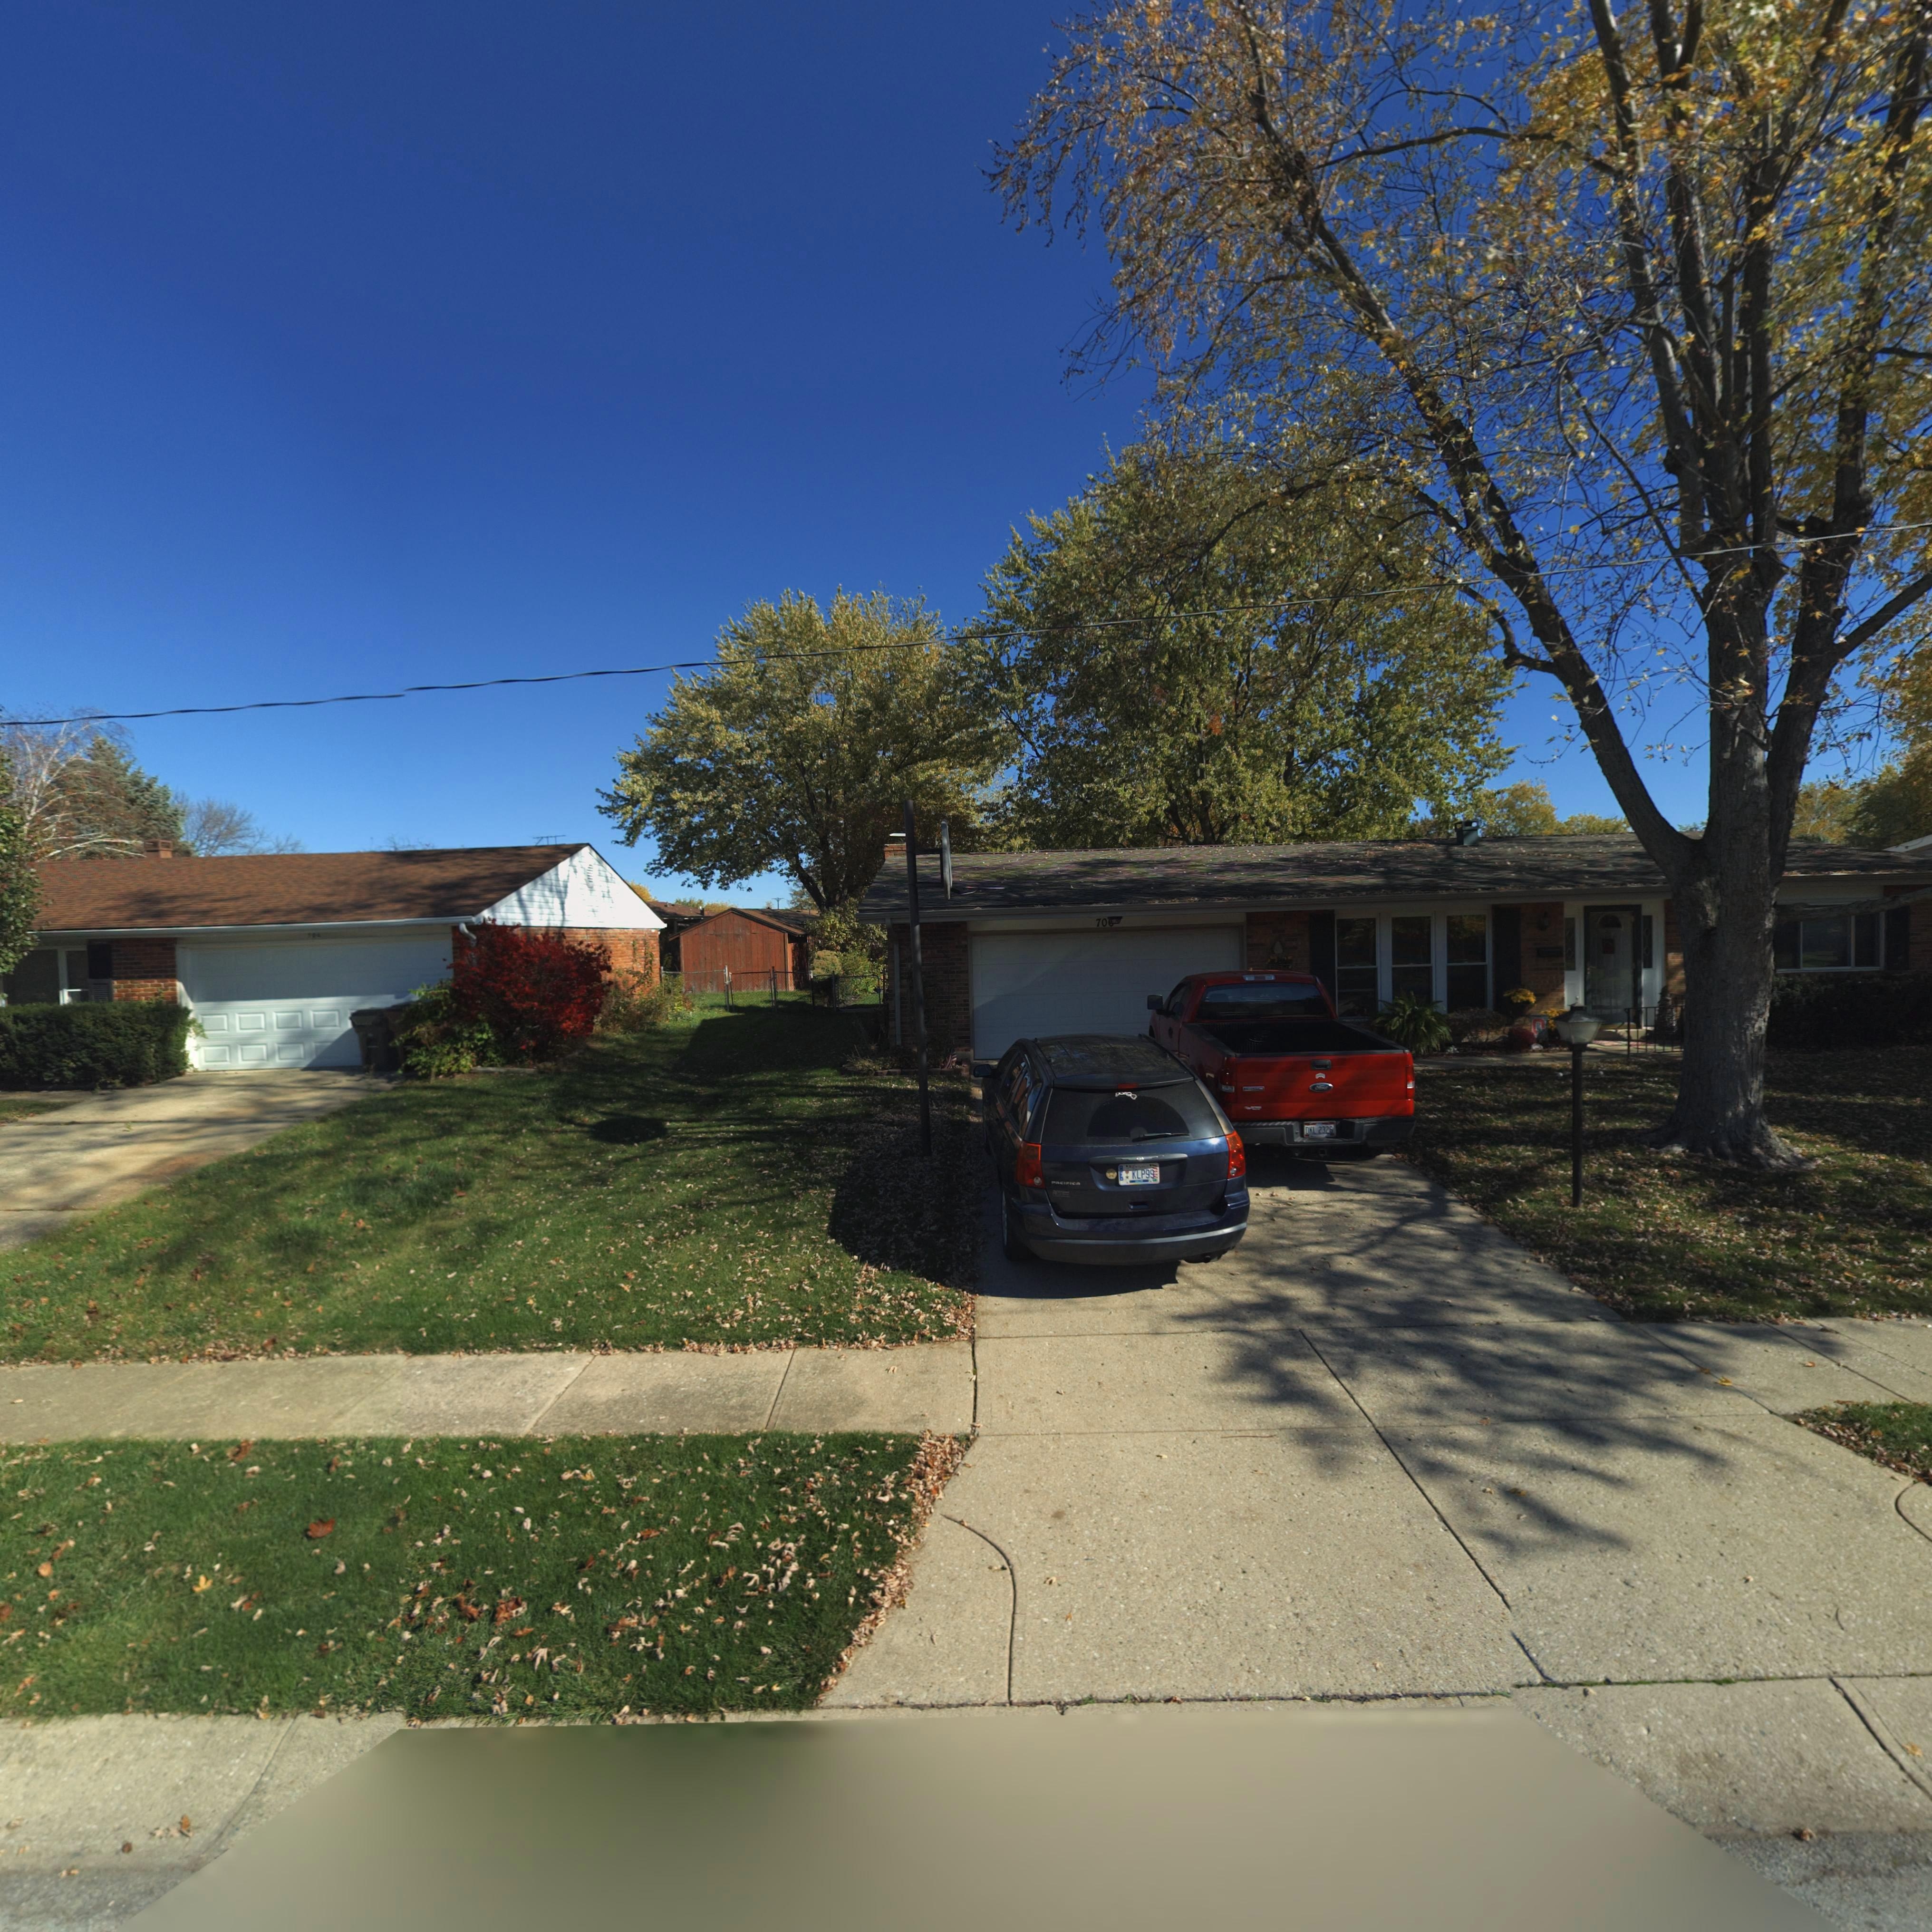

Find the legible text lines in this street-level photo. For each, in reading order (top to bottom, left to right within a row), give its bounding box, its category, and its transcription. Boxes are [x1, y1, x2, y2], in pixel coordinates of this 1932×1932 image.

[1095, 918, 1108, 927] StreetNumber: 70
[307, 932, 320, 939] StreetNumber: 704